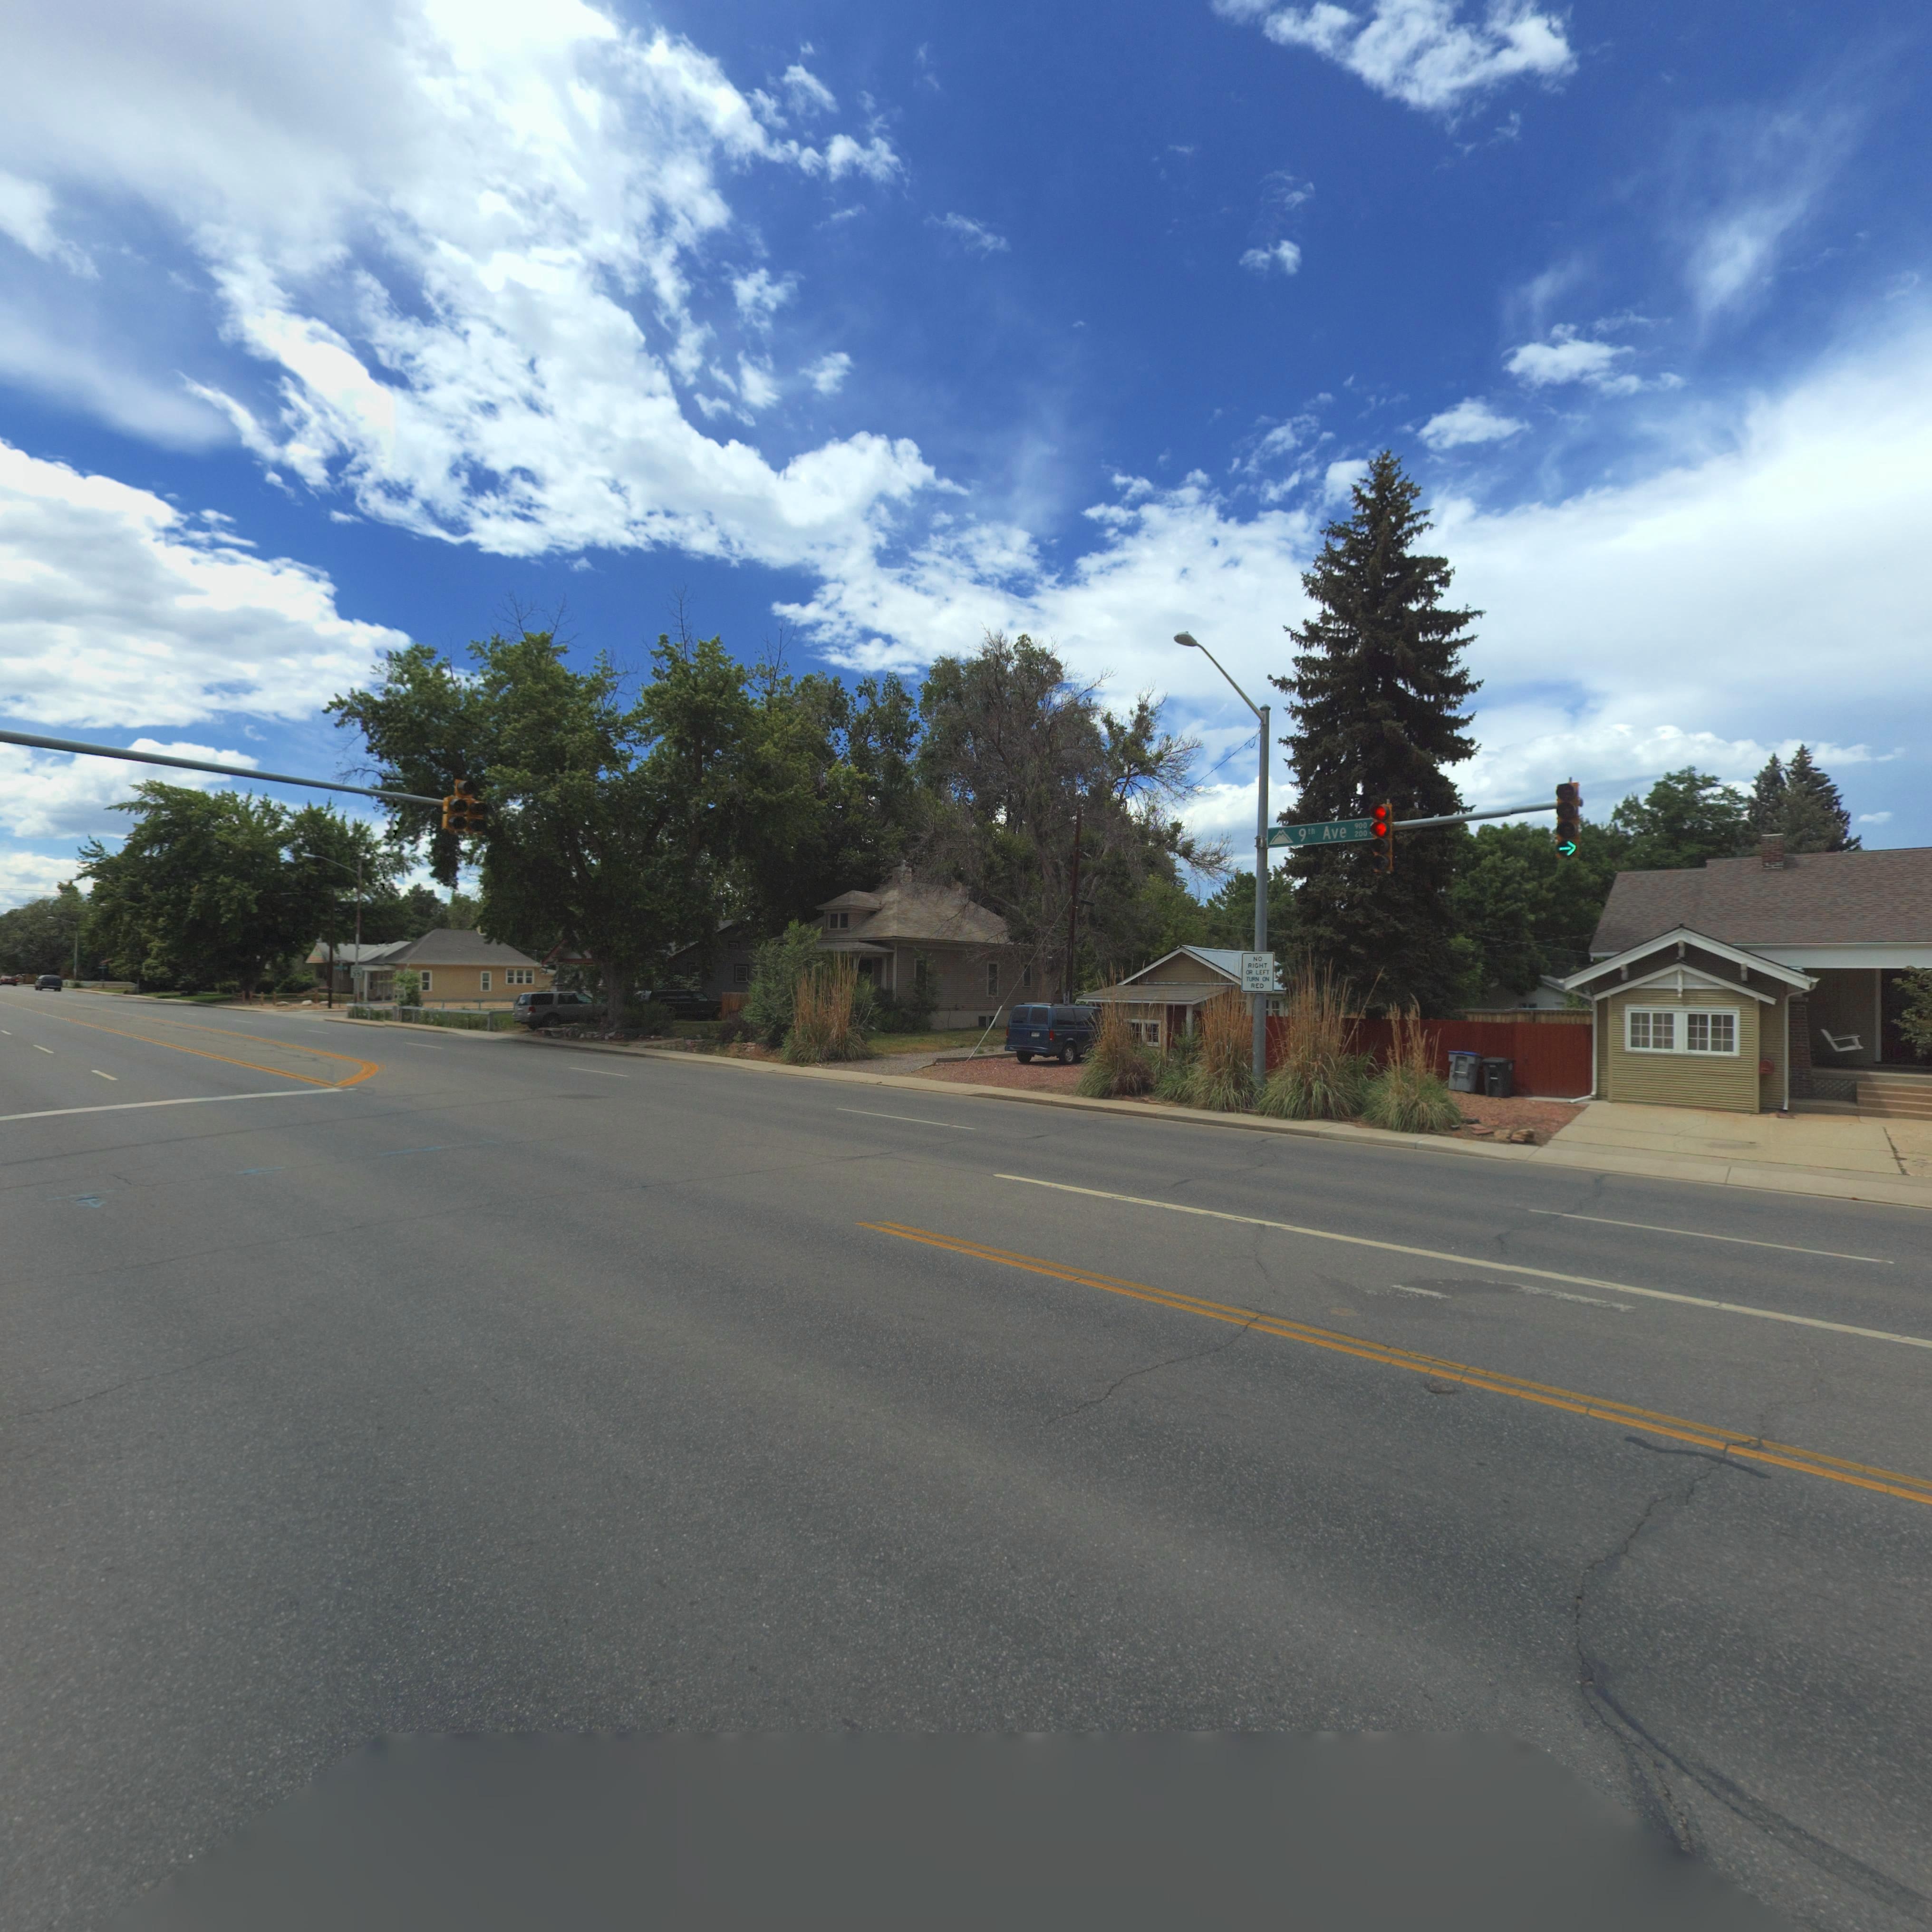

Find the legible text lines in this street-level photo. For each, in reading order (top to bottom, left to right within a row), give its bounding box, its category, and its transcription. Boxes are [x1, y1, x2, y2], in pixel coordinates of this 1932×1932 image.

[1354, 821, 1368, 829] StreetNumber: 900
[1298, 825, 1347, 842] StreetNumber: 9th Ave
[1354, 830, 1367, 837] StreetNumber: 200